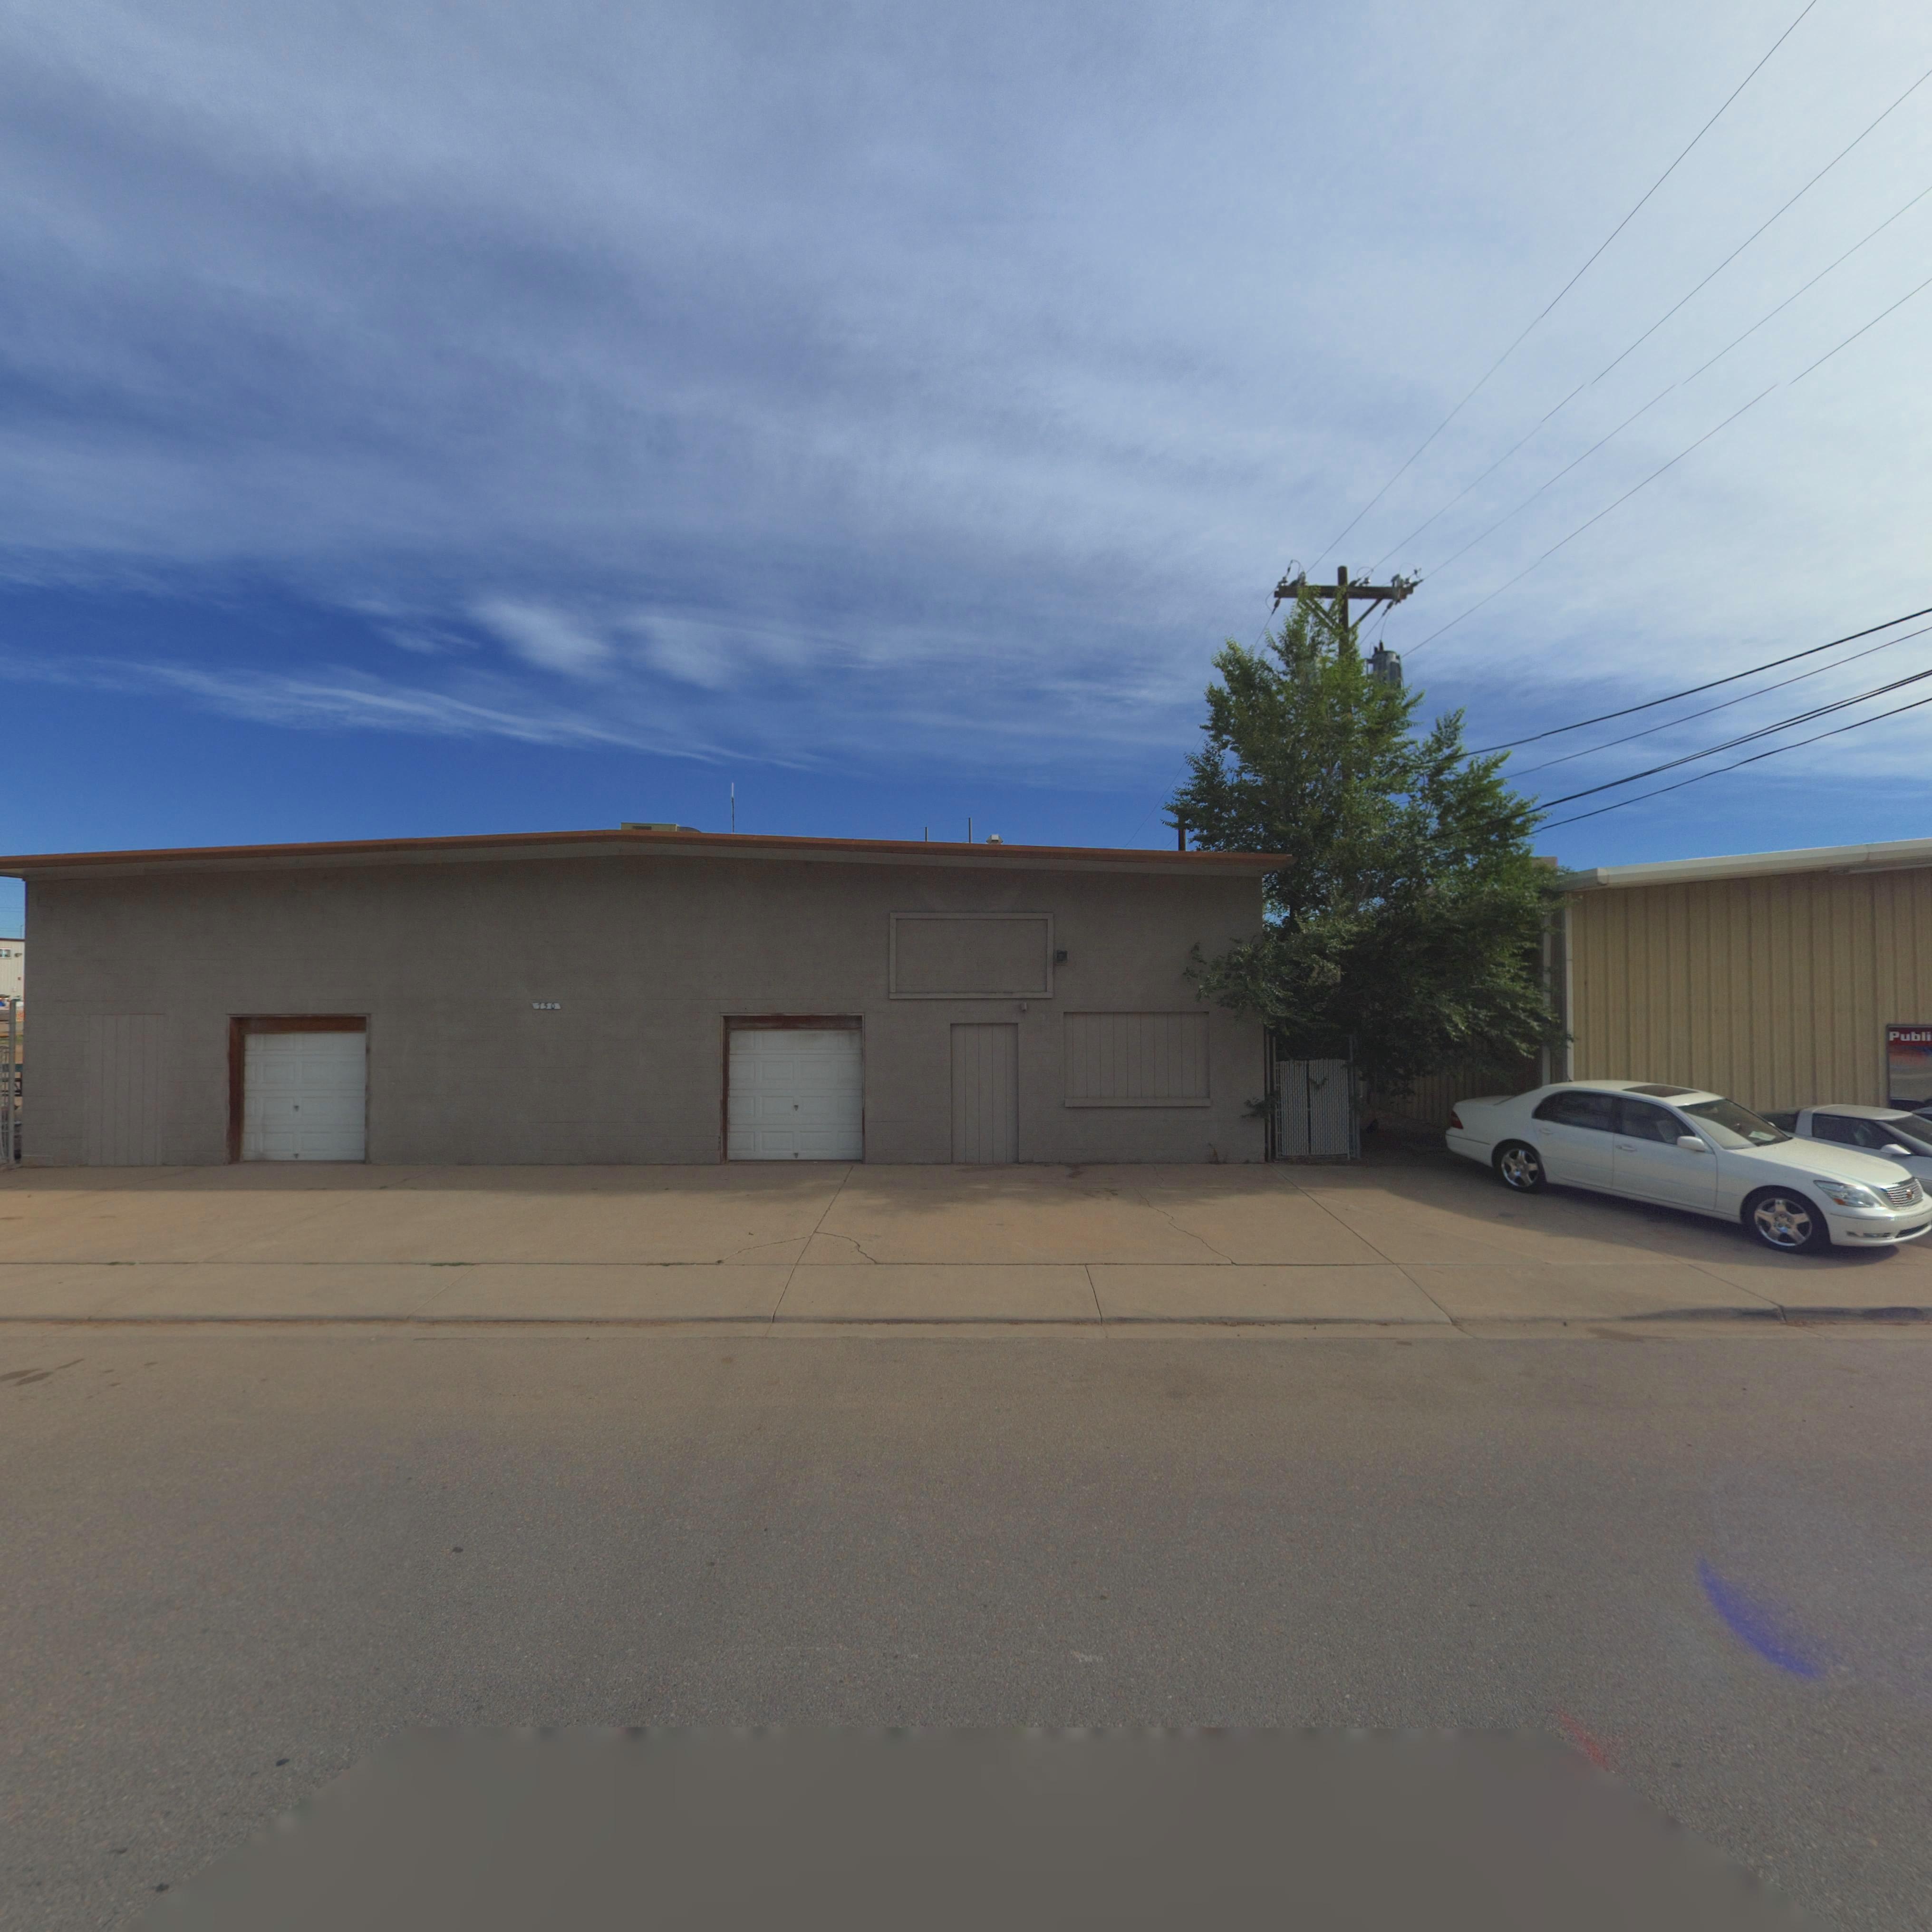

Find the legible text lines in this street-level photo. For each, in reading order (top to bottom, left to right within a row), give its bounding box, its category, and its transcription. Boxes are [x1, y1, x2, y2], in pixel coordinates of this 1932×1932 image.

[538, 1002, 555, 1009] StreetNumber: 750